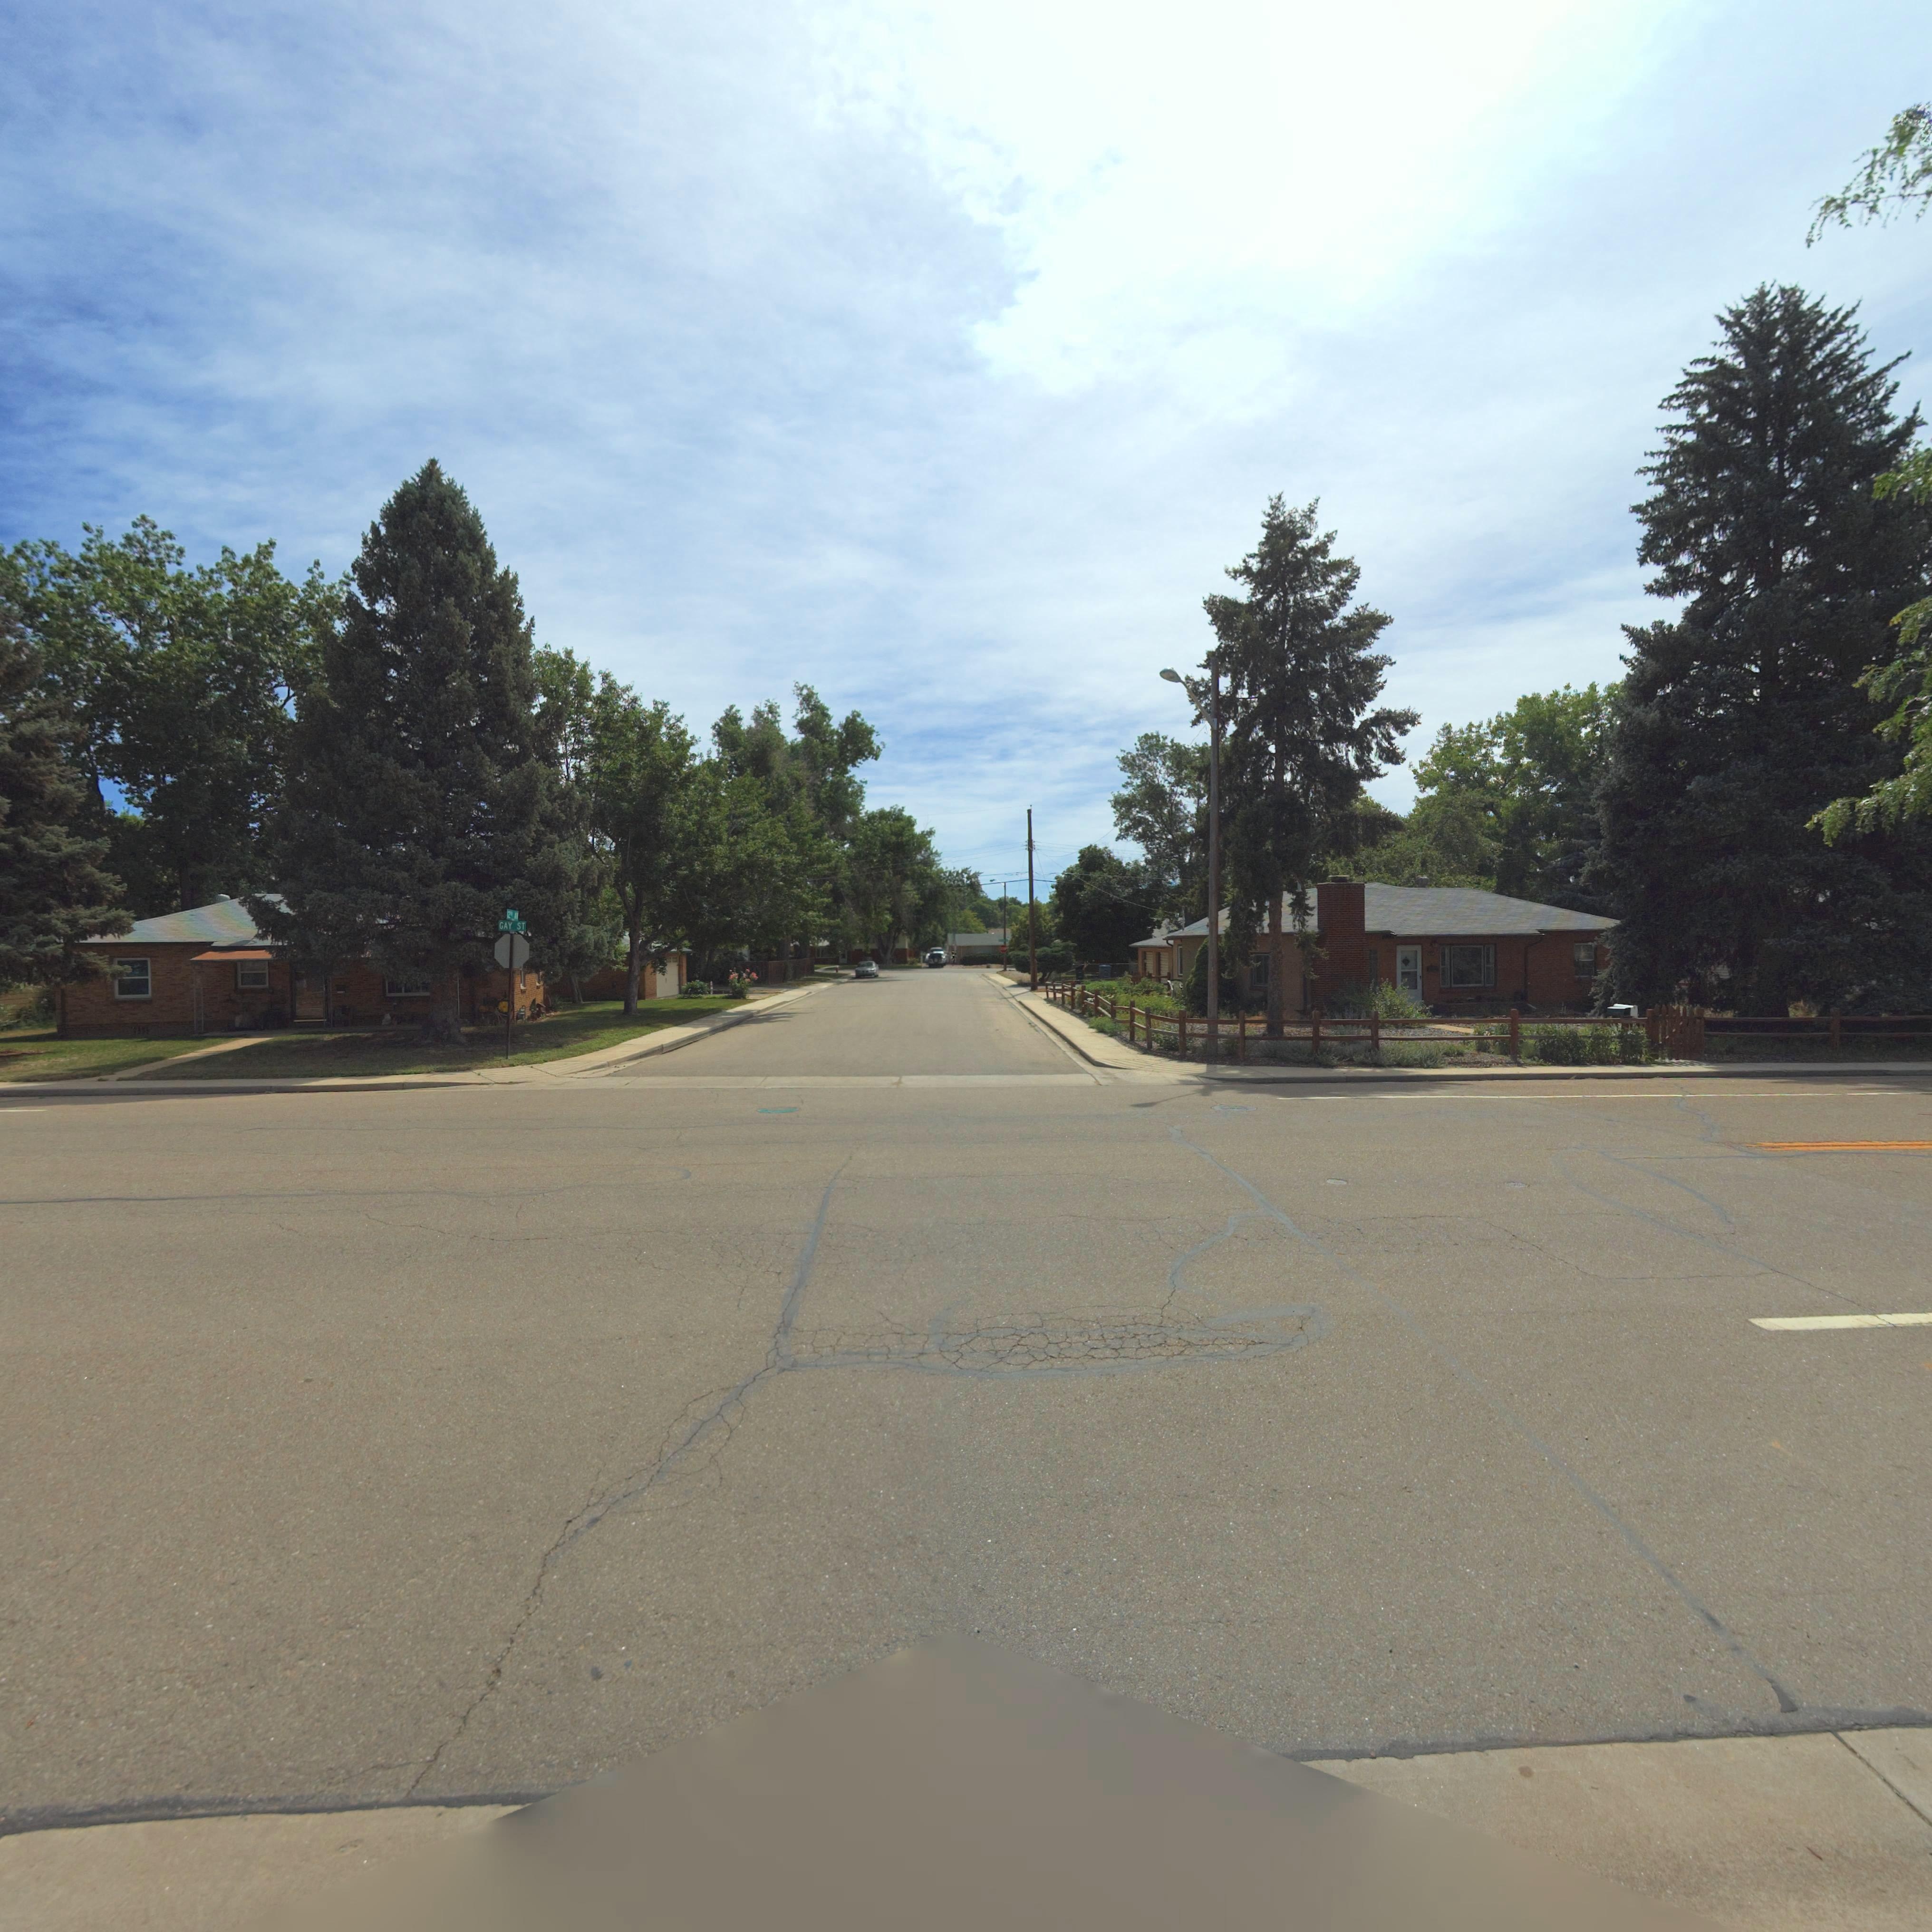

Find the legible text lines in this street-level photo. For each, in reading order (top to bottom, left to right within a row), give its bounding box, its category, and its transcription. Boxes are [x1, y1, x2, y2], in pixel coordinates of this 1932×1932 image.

[506, 910, 519, 919] StreetName: 12** A*
[498, 921, 525, 930] StreetName: GAY ST